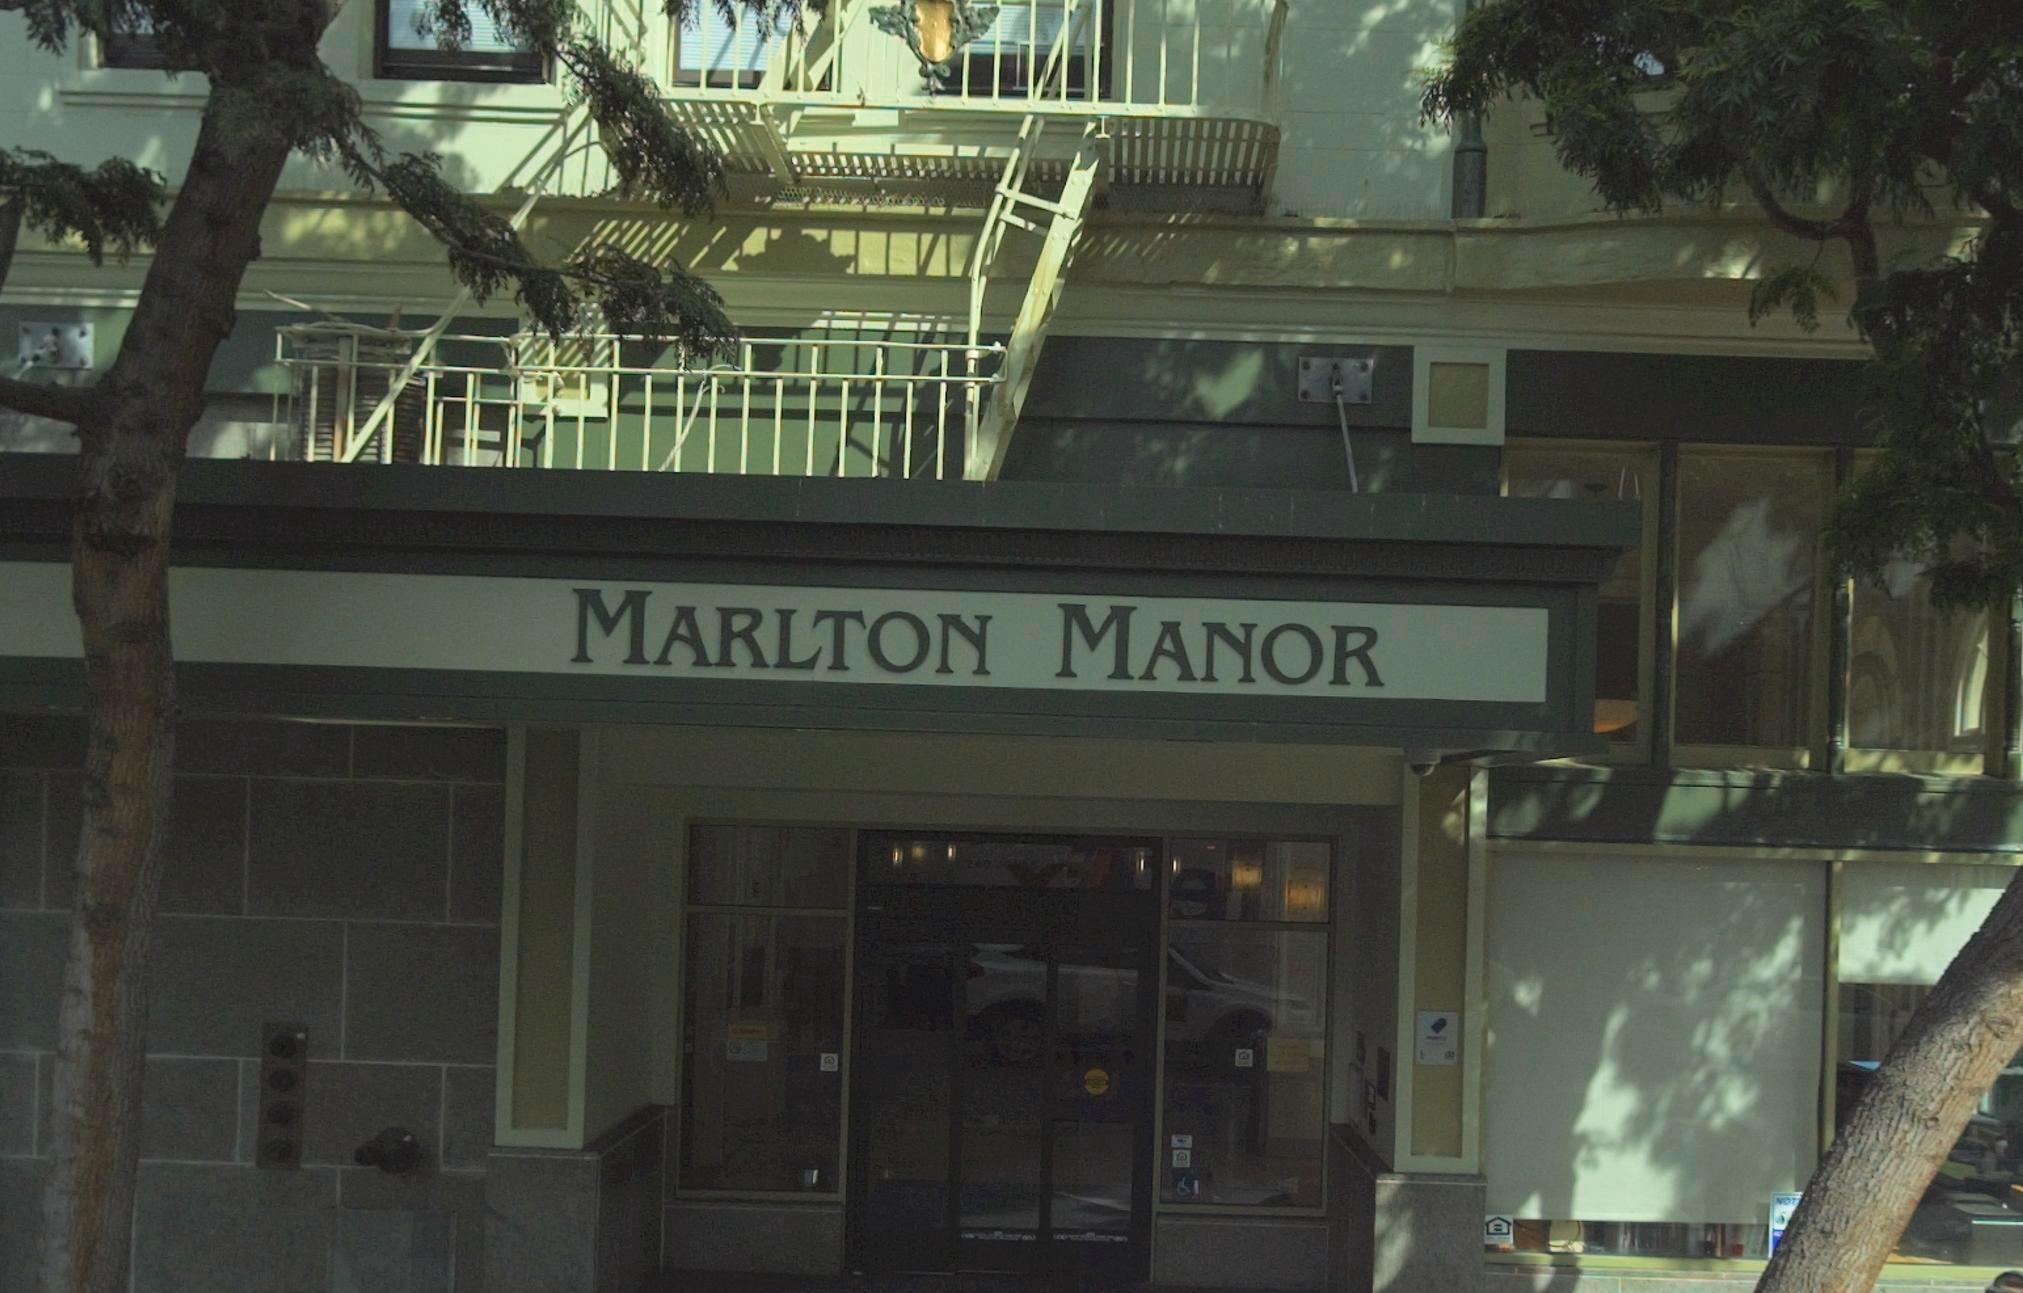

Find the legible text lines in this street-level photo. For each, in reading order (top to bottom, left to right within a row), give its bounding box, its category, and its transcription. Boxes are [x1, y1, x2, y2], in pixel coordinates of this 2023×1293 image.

[561, 582, 1392, 693] BusinessName: MARLTON MANOR